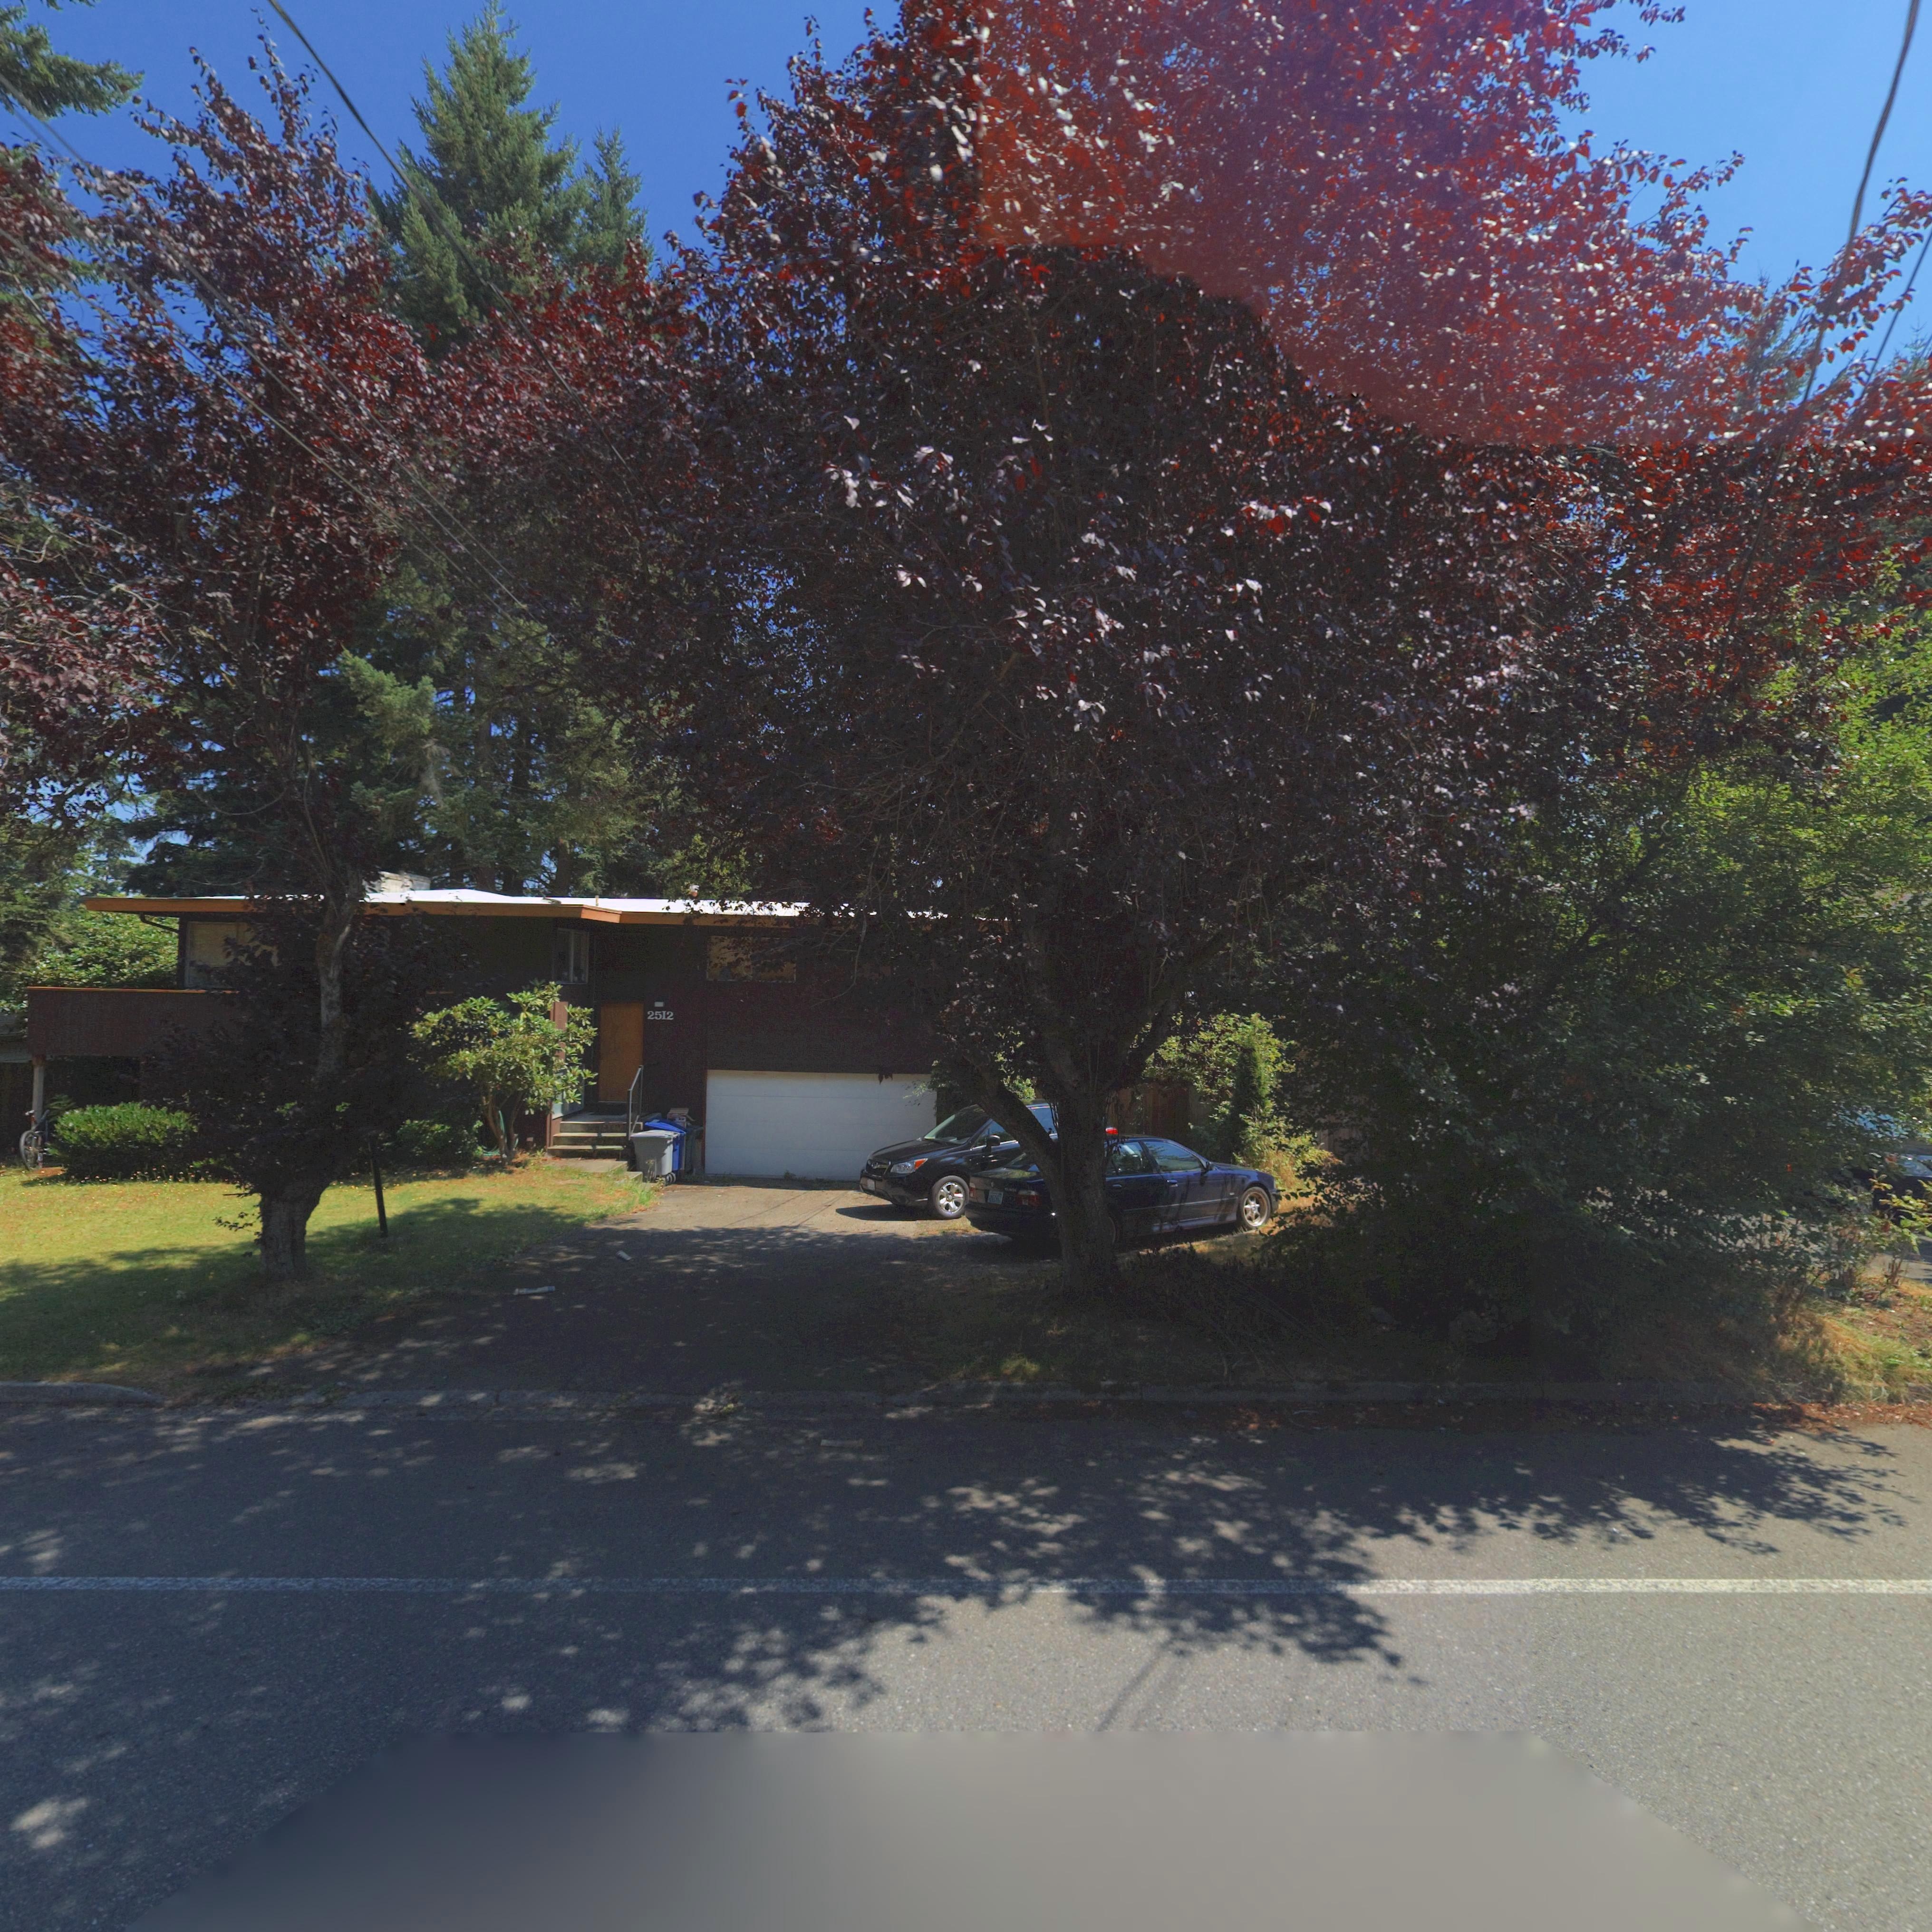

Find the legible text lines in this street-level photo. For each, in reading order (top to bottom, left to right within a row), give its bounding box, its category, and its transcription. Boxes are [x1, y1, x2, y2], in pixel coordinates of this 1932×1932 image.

[647, 1010, 673, 1020] StreetNumber: 2512